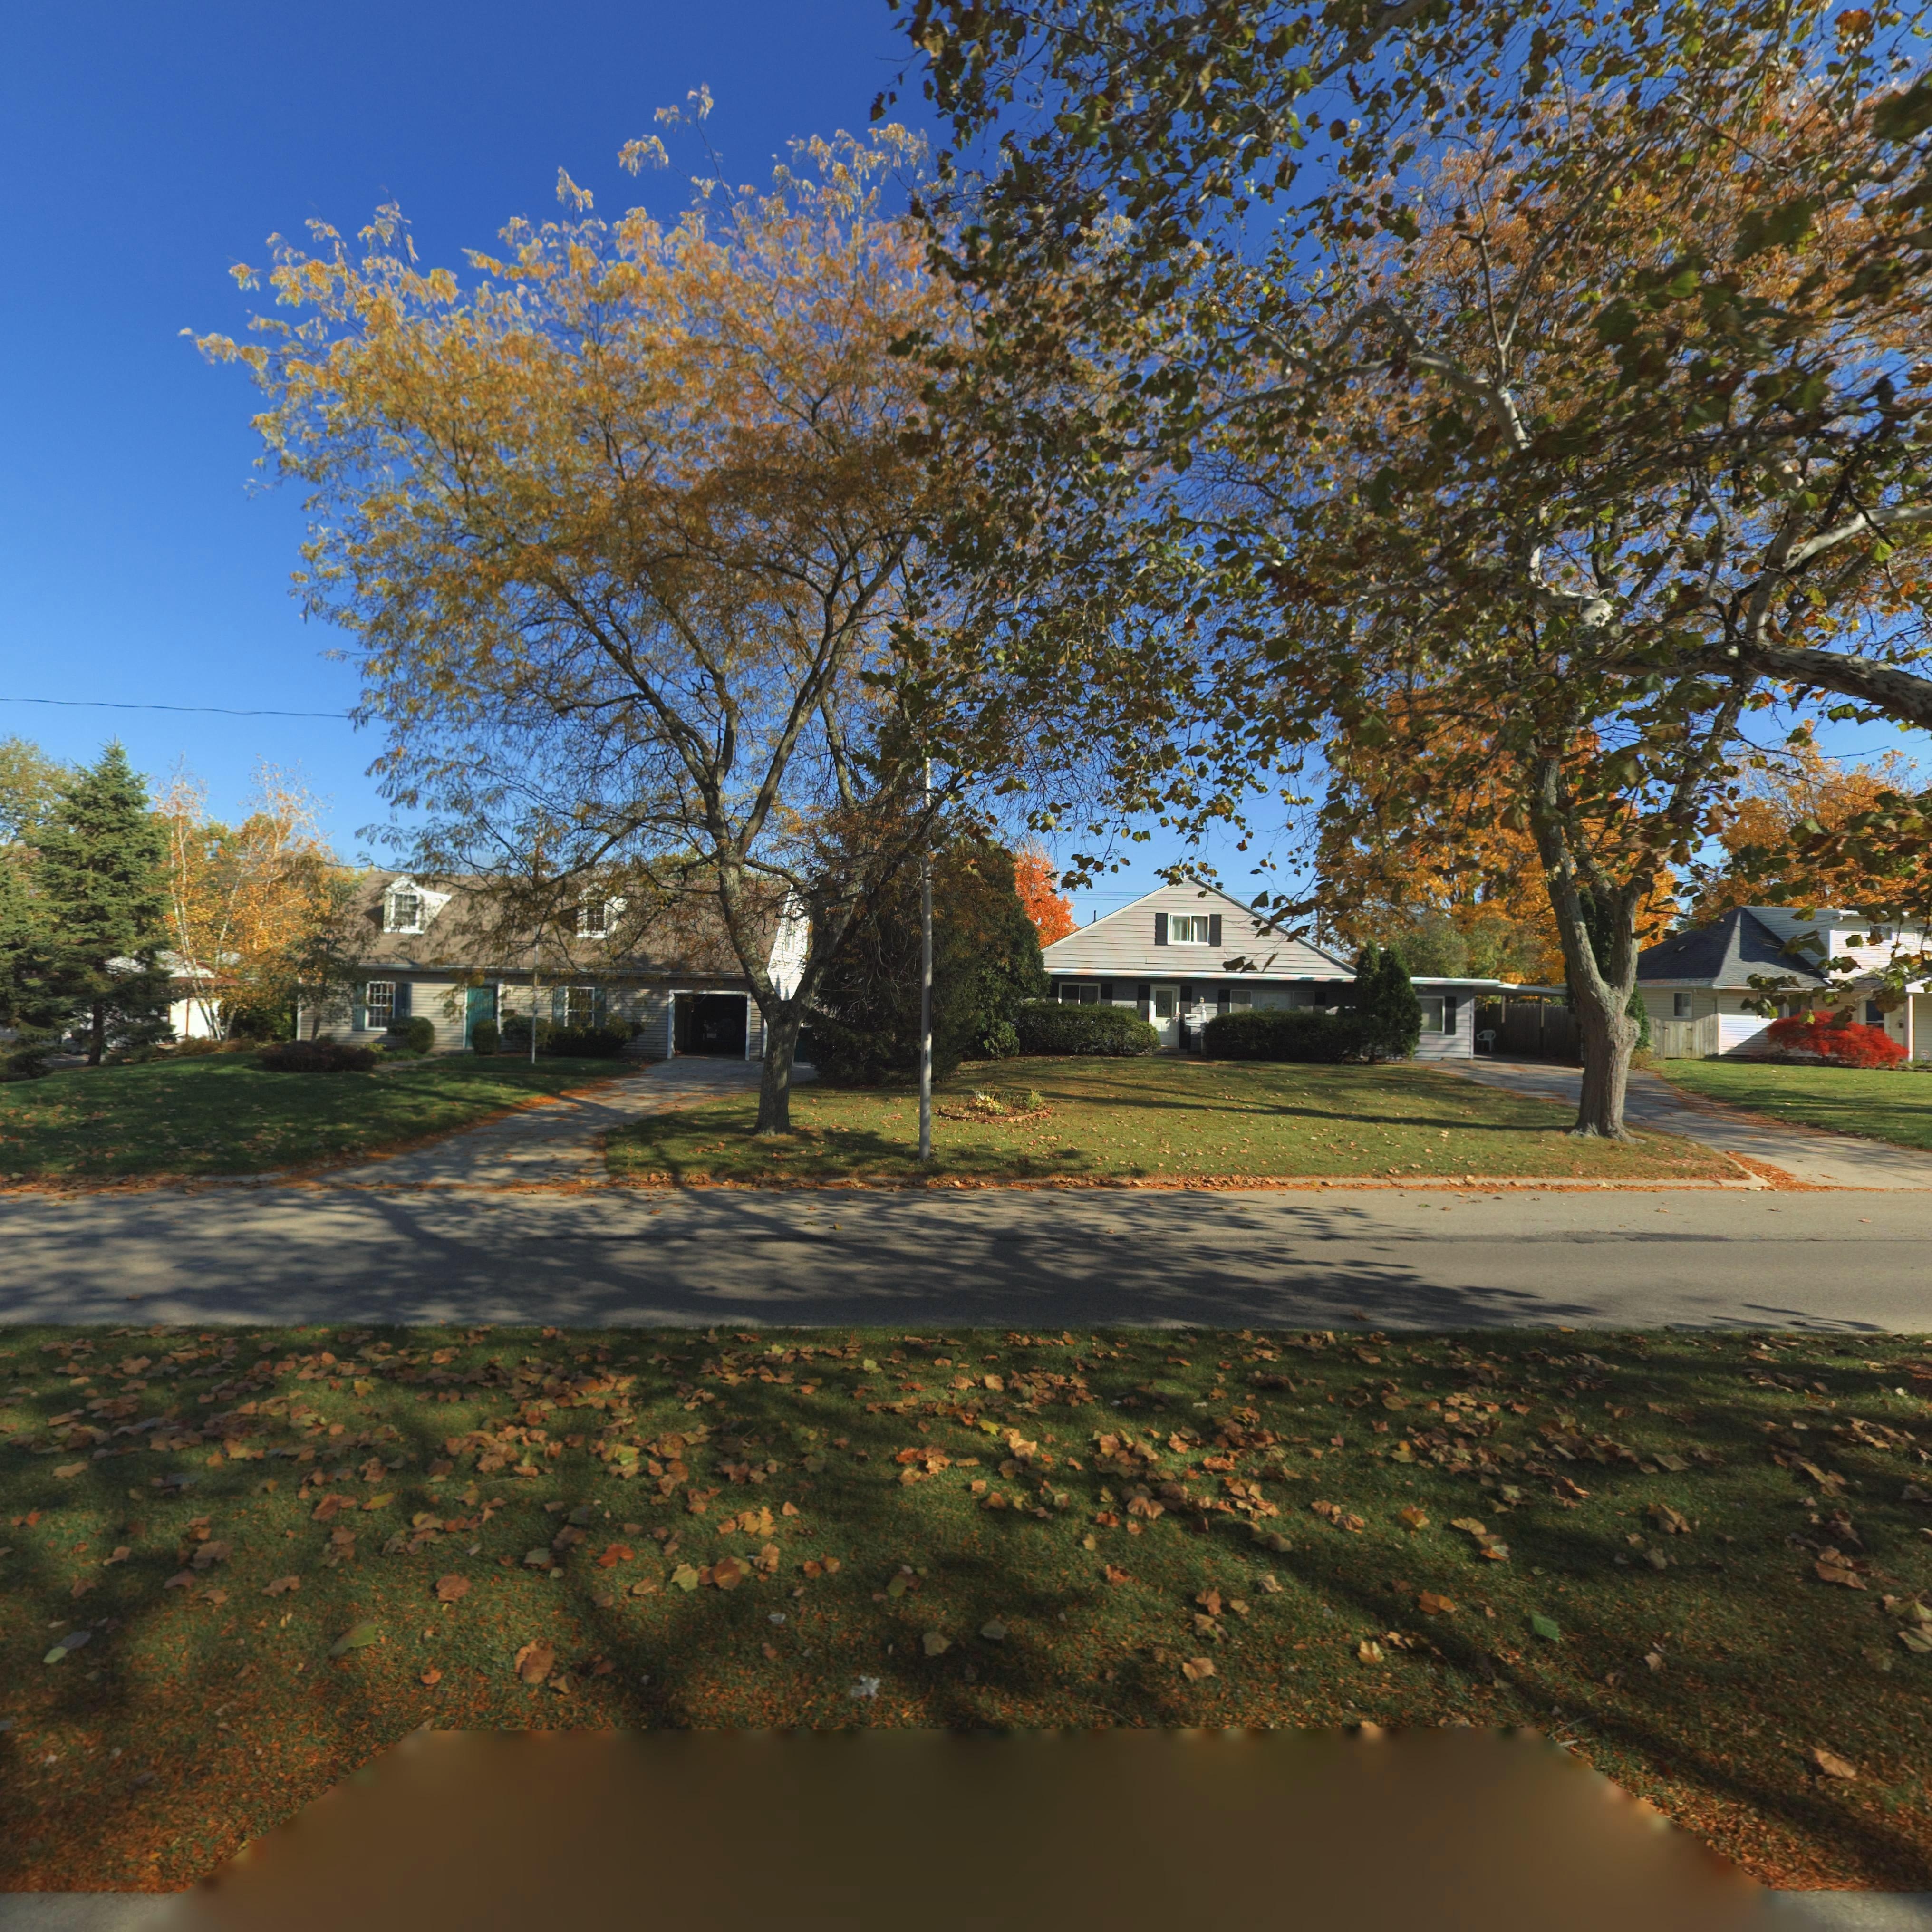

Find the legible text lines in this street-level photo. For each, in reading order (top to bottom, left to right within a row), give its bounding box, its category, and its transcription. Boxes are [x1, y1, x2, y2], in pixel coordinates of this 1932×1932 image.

[1196, 1007, 1202, 1012] StreetNumber: 37